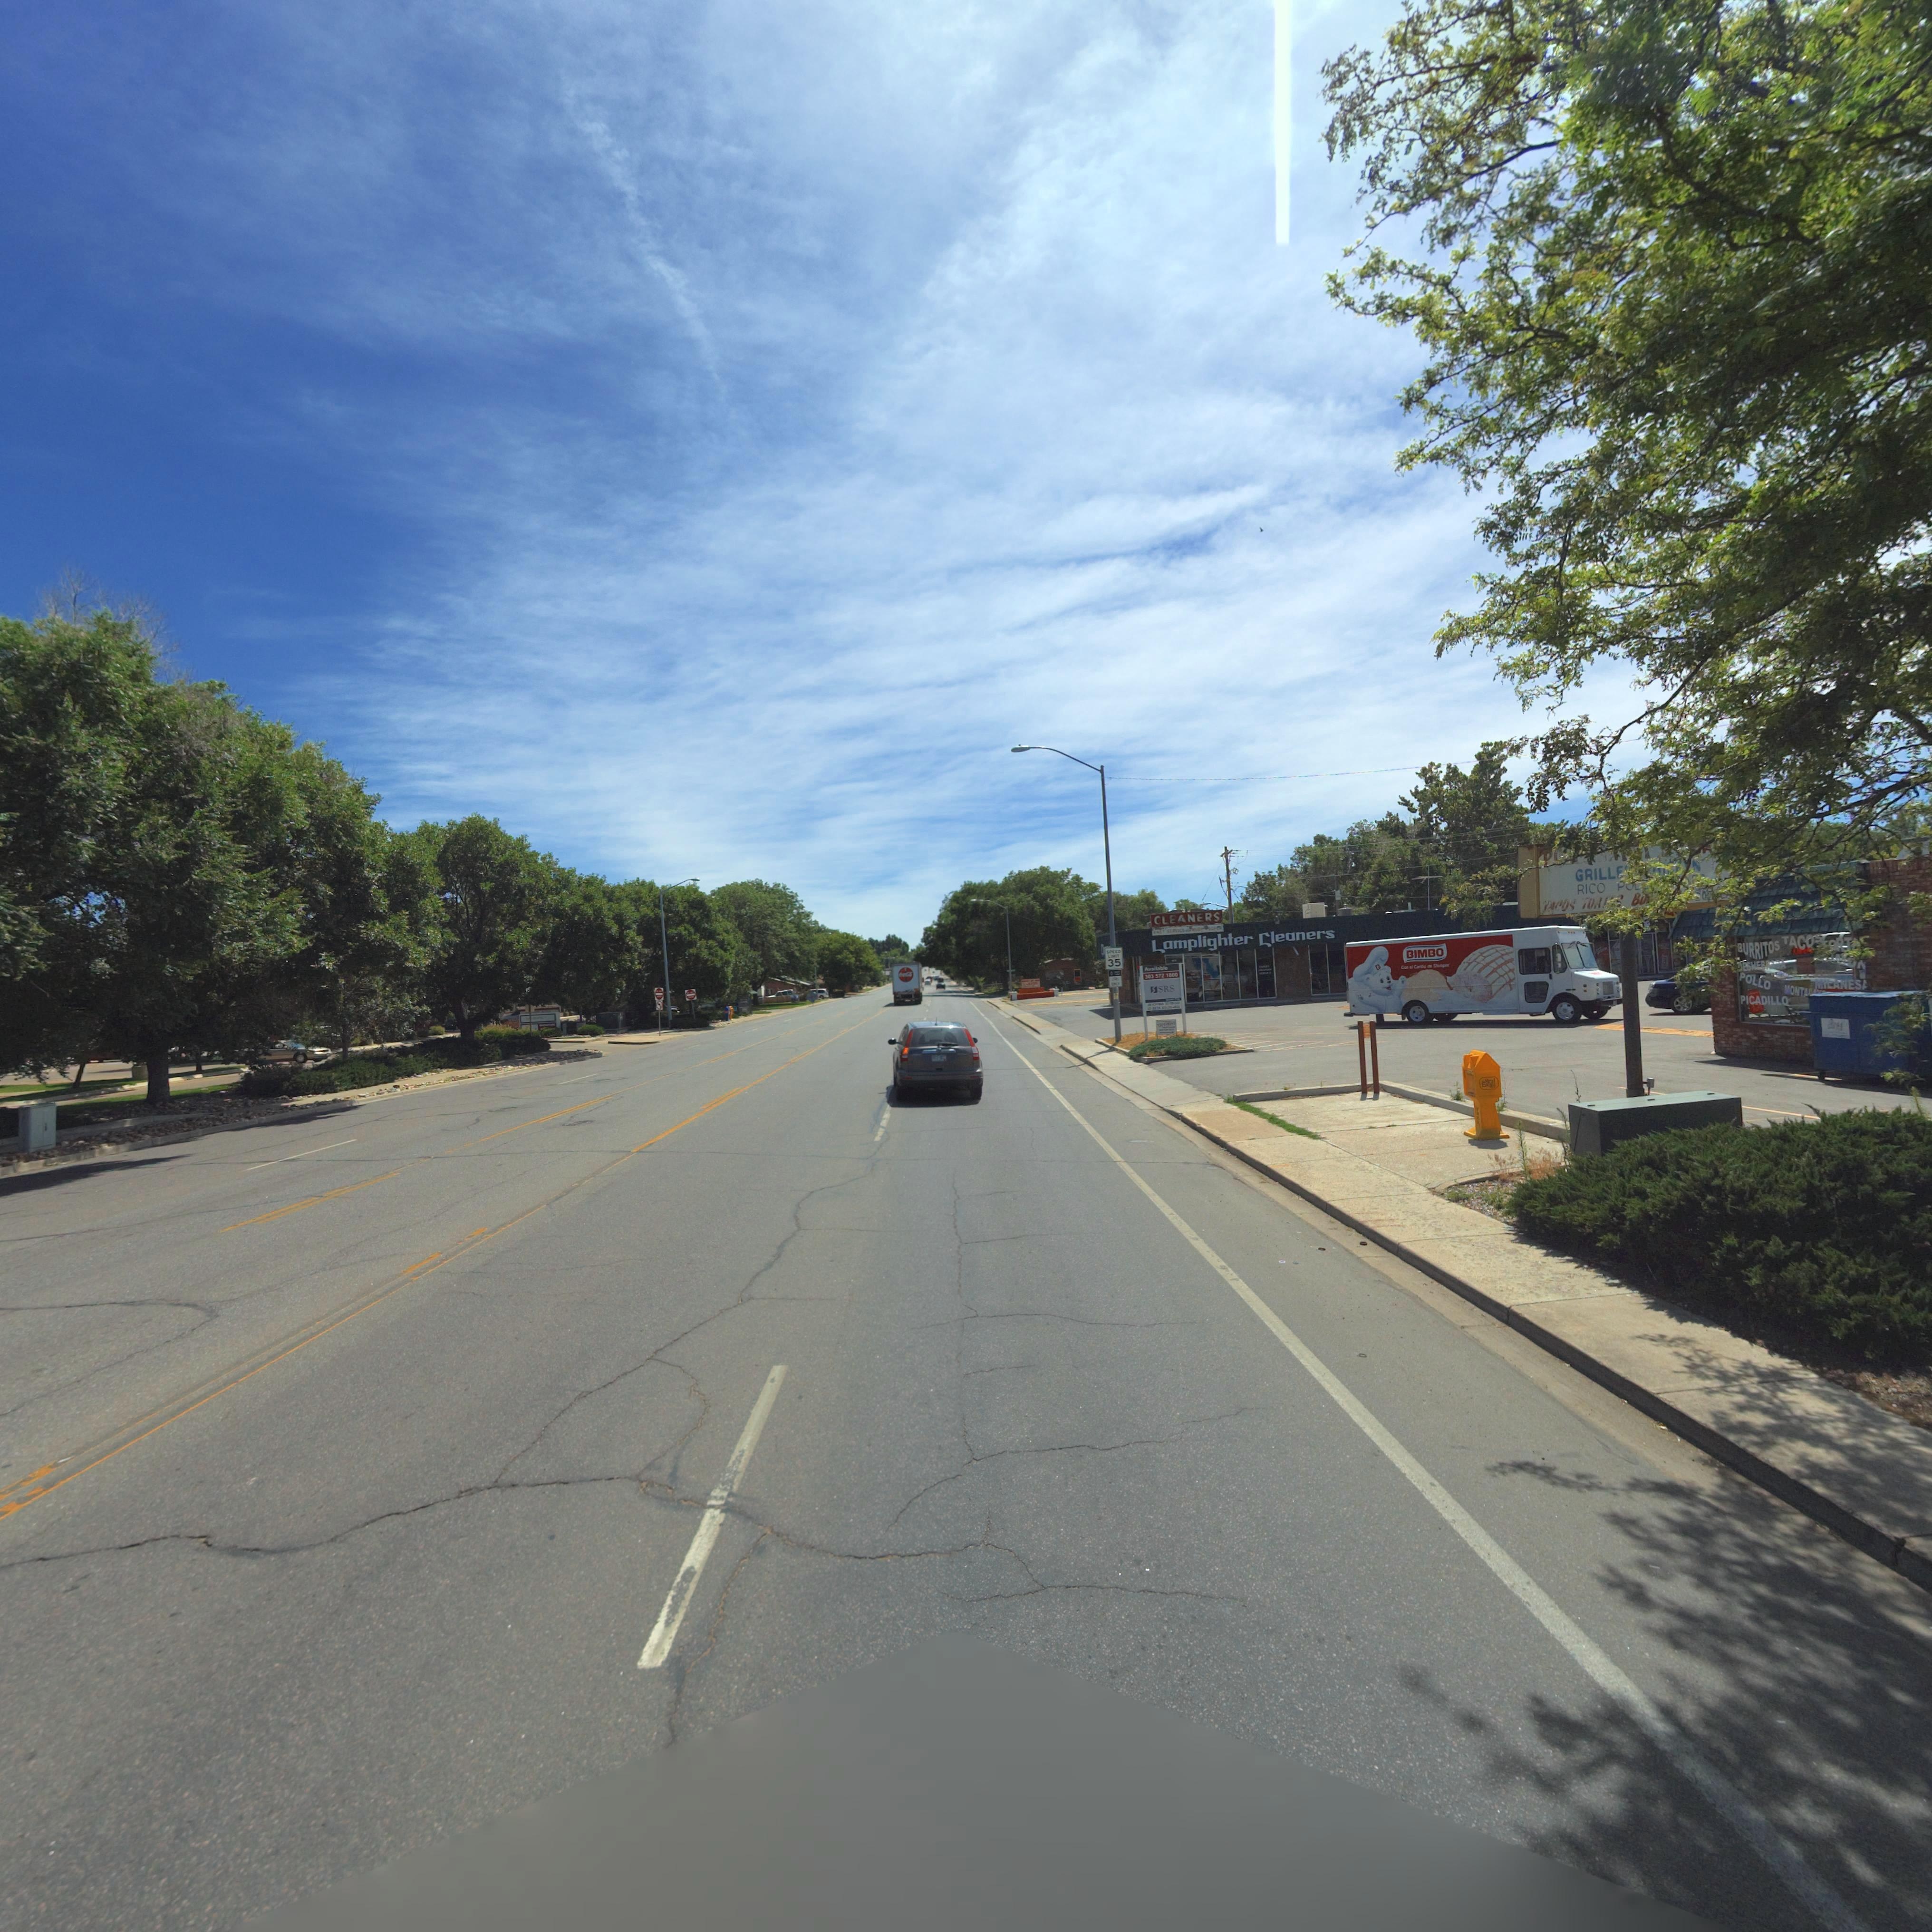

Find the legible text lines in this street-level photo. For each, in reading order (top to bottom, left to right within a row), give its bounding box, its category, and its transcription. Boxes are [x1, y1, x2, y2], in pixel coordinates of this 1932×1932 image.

[1541, 839, 1652, 868] BusinessName: P******
[1150, 929, 1335, 953] BusinessName: Lamplighter Cleaners
[1156, 1021, 1176, 1027] BusinessName: V*******